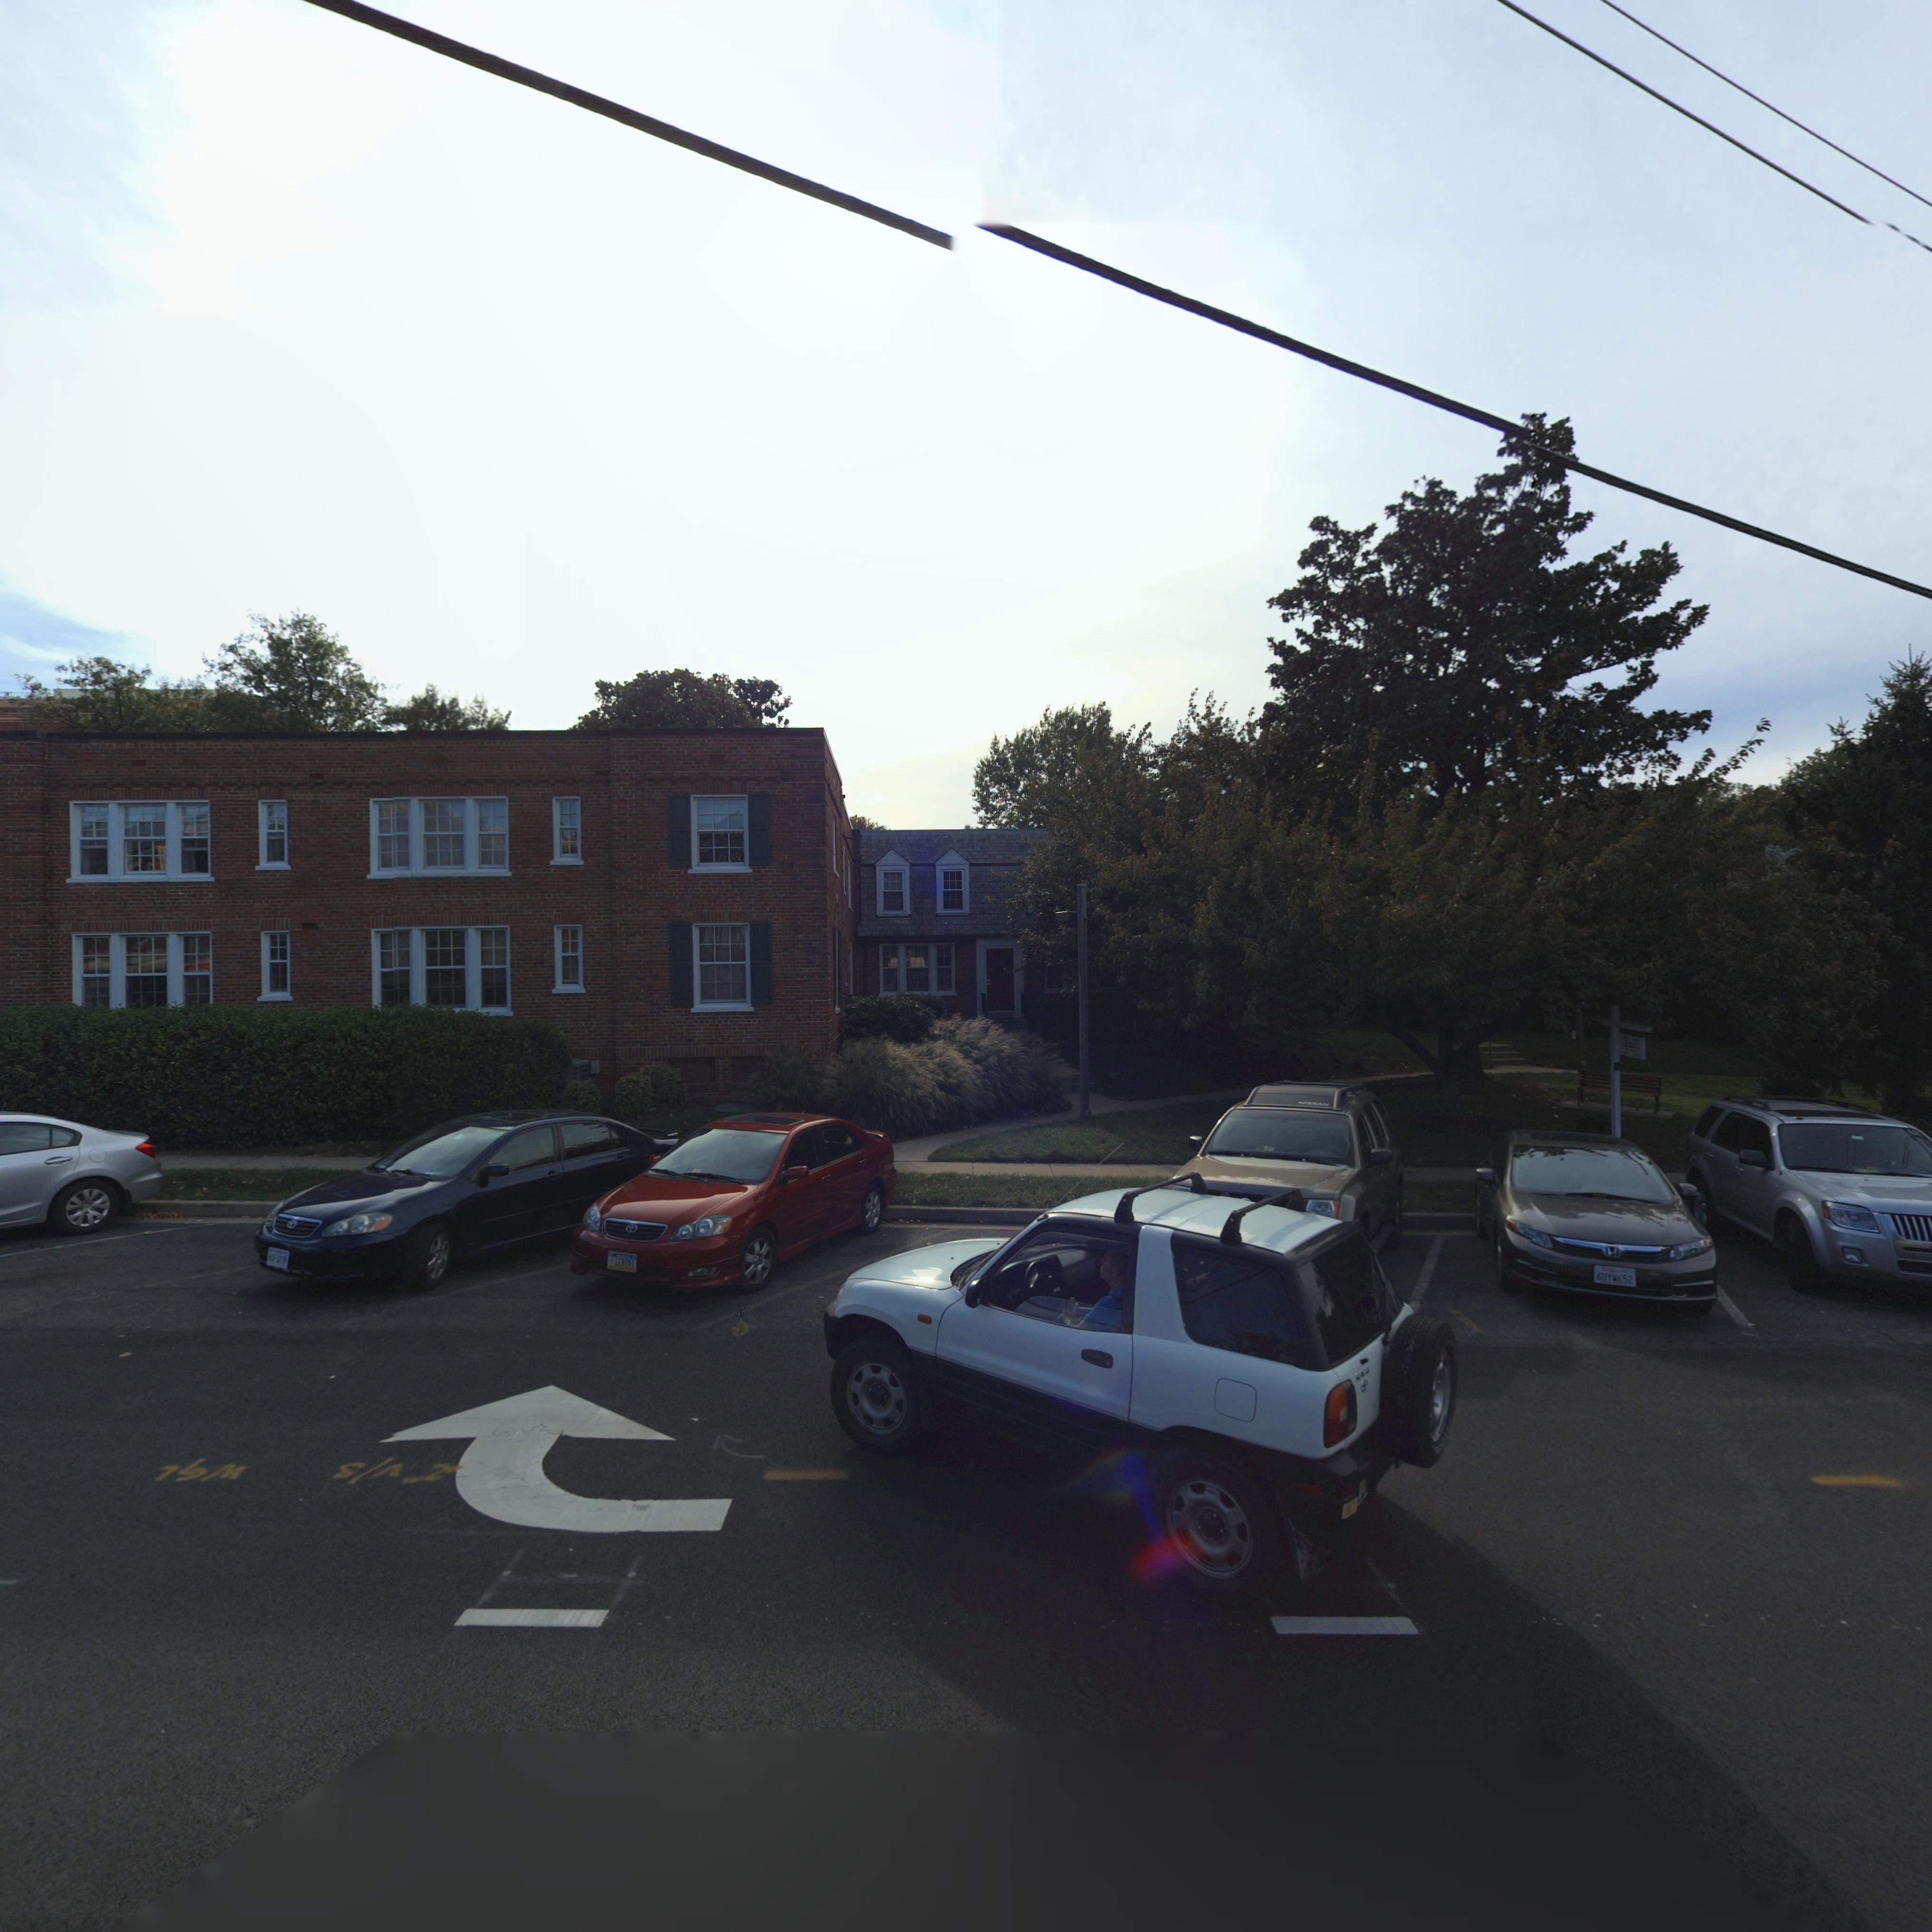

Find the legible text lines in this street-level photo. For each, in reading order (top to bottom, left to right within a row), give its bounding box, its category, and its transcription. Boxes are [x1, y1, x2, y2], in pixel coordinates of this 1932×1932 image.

[1297, 1101, 1330, 1107] None: NISSAN
[280, 1256, 288, 1265] None: 39
[614, 1257, 636, 1269] None: JENNN*
[1595, 1272, 1634, 1285] None: 6UYW652